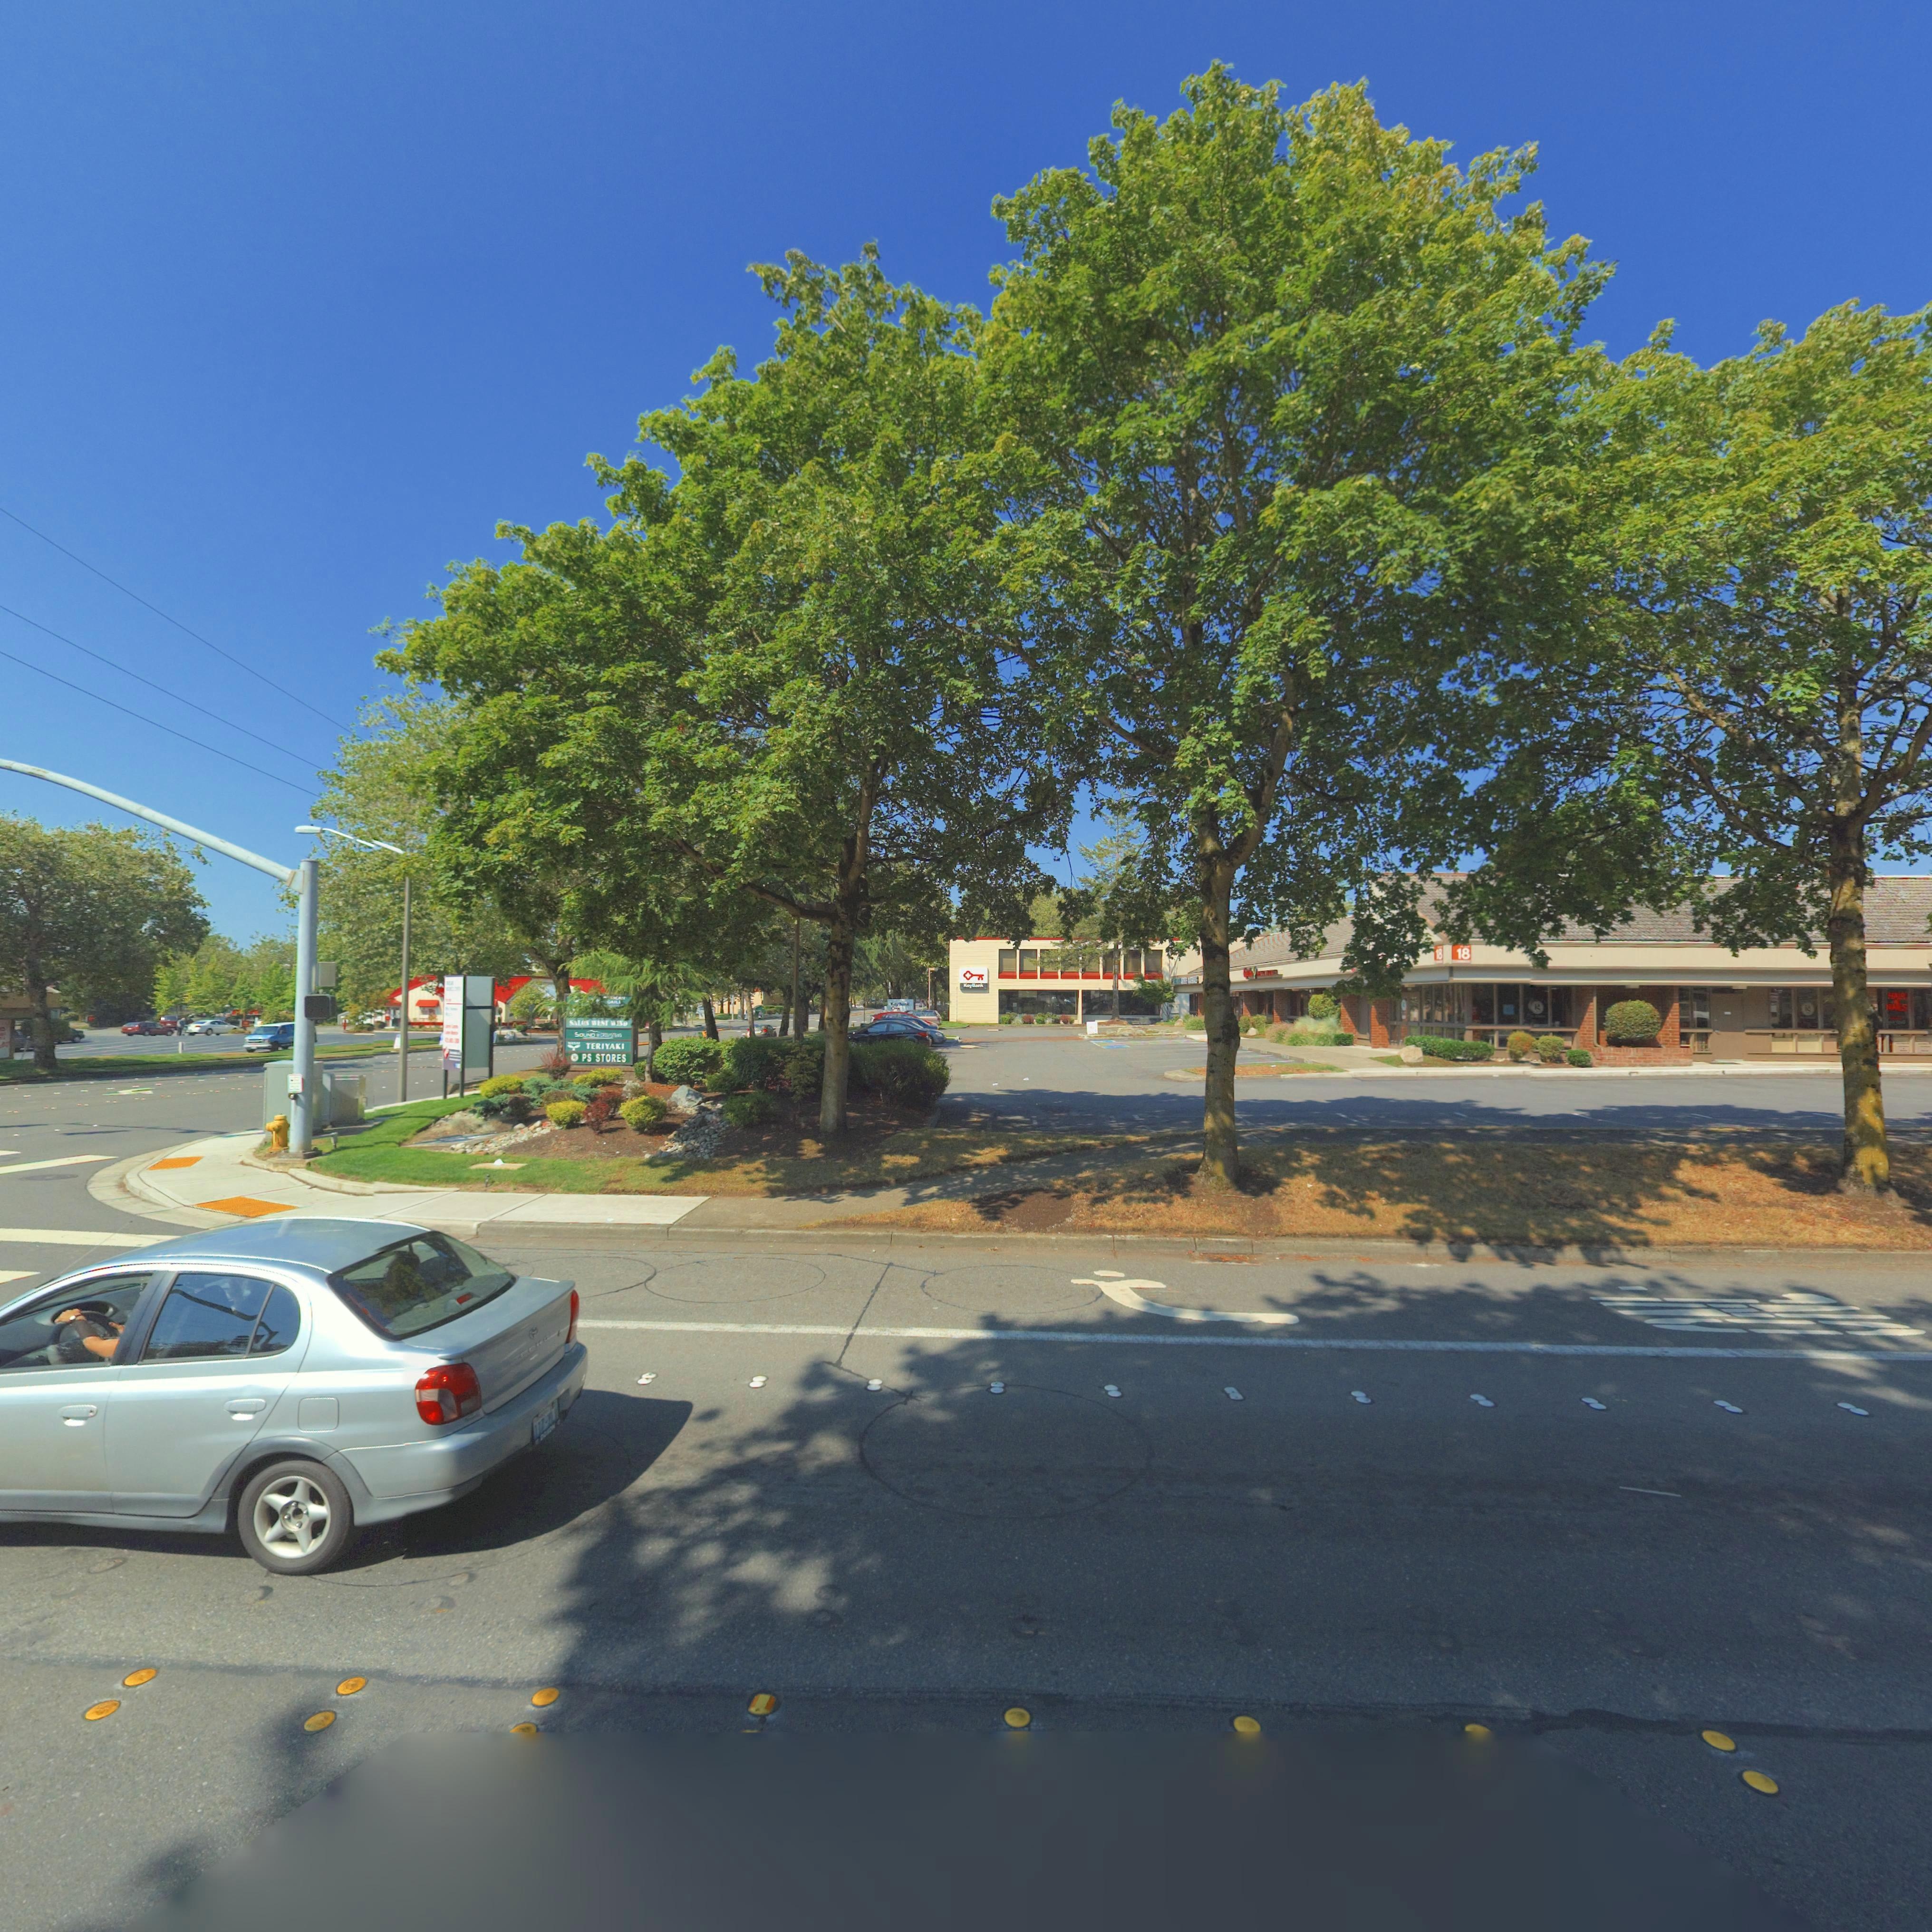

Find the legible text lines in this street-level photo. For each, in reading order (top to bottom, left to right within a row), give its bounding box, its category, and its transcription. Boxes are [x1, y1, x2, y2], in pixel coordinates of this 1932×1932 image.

[569, 1053, 630, 1063] BusinessName: OH STORES